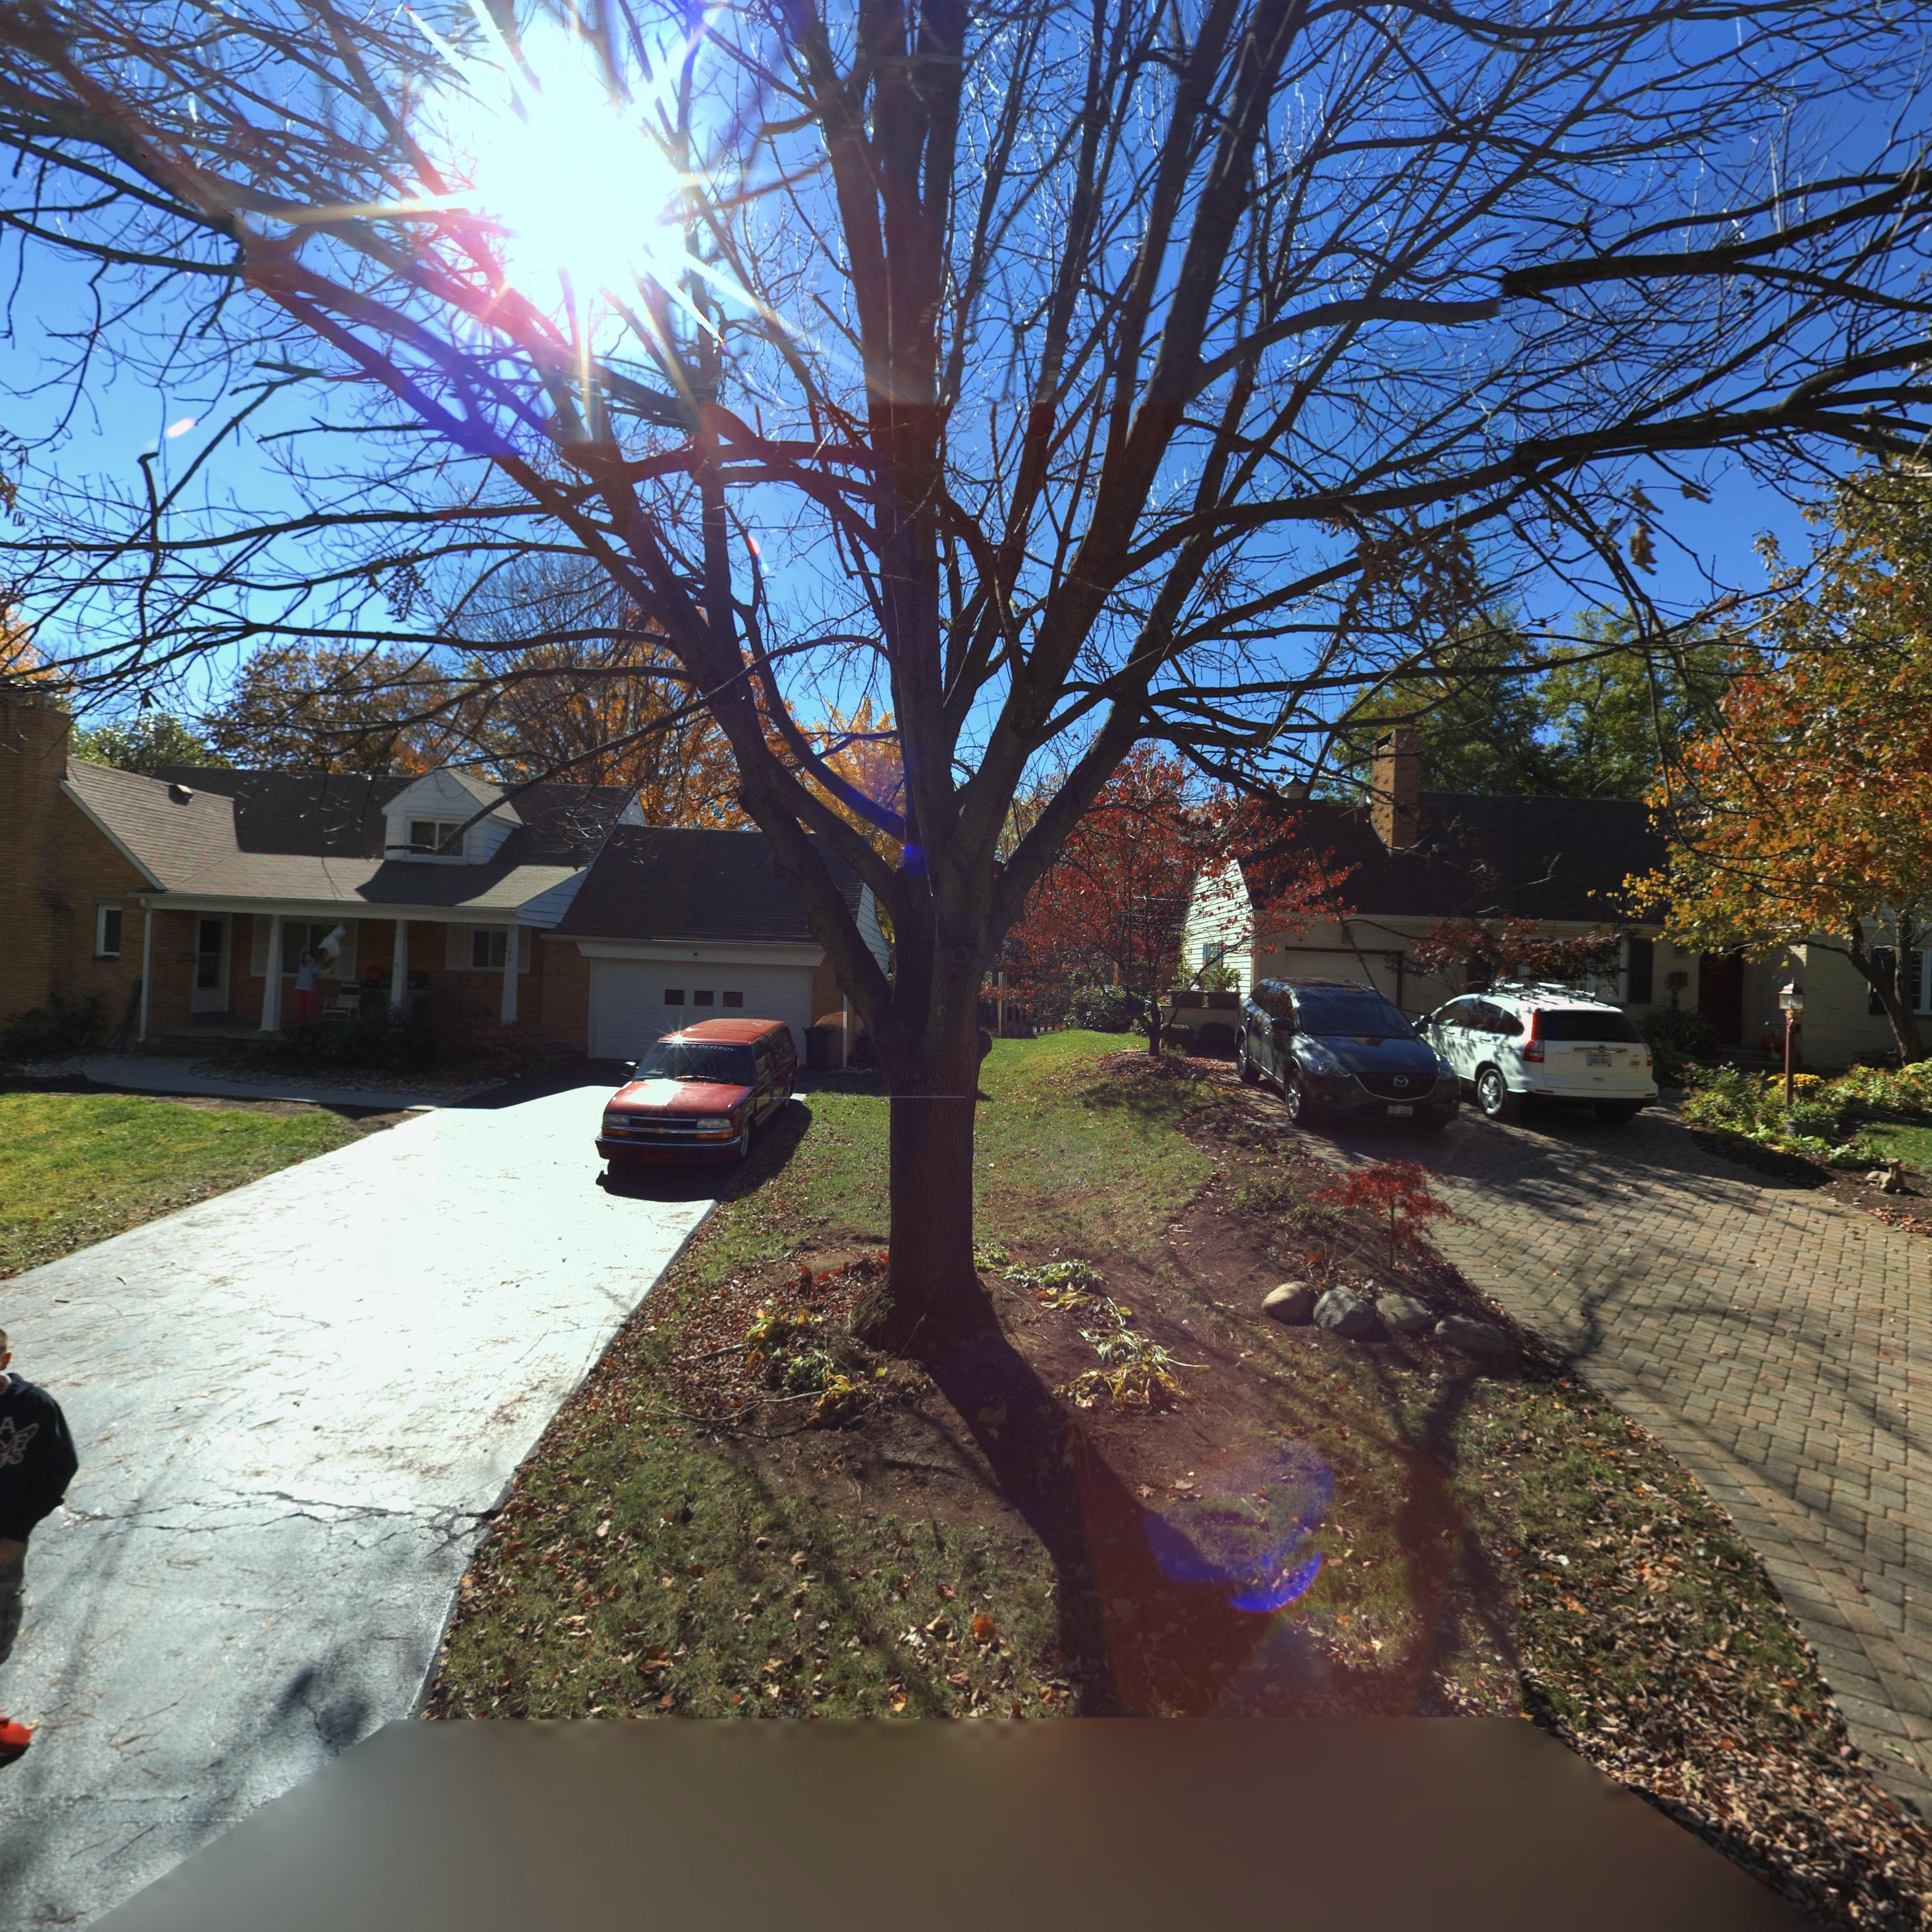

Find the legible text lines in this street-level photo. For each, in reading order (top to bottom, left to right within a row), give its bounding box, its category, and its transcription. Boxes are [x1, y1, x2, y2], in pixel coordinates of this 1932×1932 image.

[507, 942, 513, 963] StreetNumber: 108